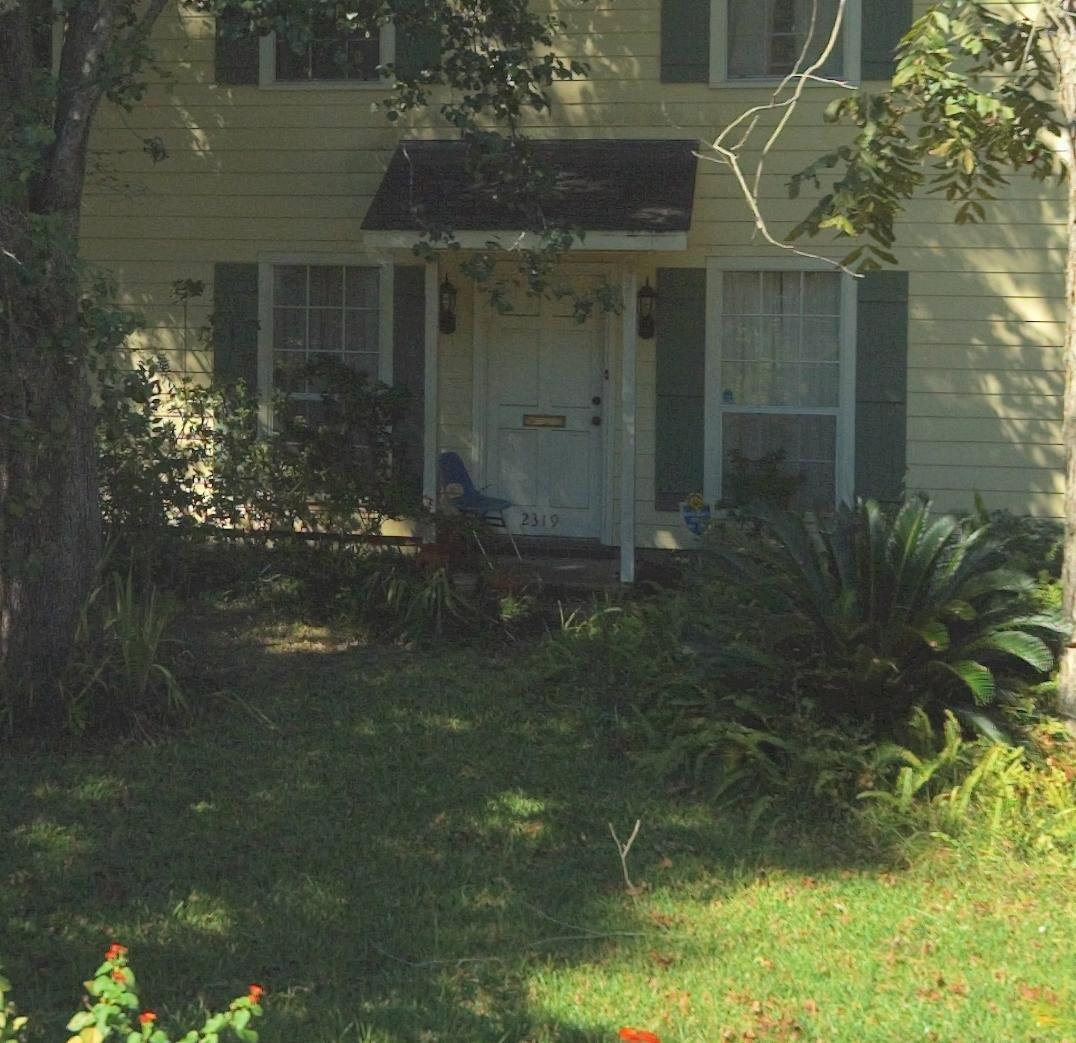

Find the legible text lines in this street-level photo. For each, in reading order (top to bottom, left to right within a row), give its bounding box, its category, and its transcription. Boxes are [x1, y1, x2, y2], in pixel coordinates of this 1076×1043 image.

[519, 509, 562, 531] StreetNumber: 2319